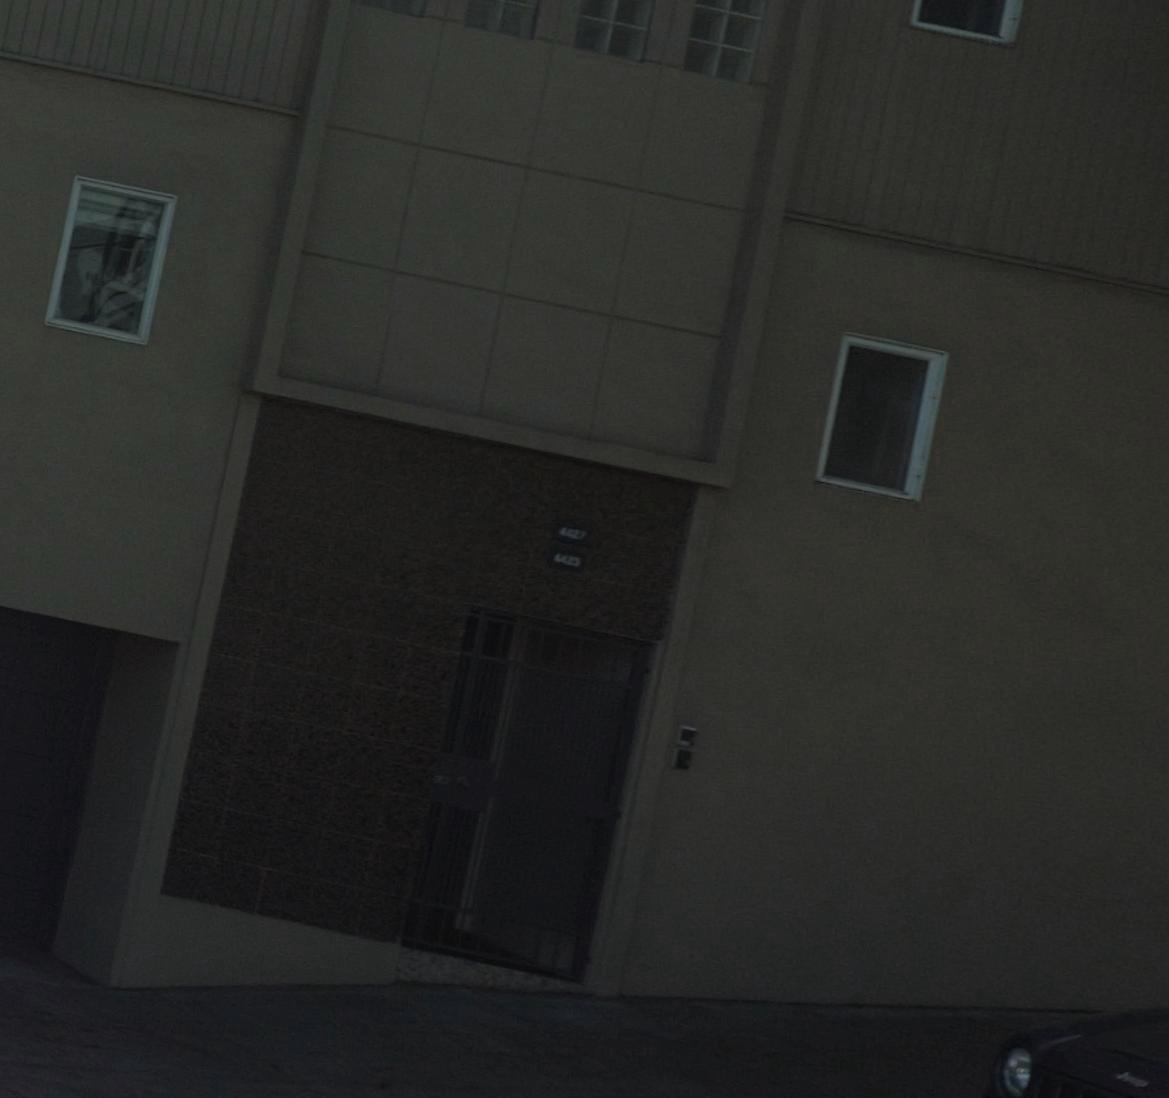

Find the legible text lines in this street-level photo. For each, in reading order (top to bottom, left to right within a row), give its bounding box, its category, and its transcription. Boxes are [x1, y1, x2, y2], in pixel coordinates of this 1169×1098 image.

[555, 522, 591, 544] StreetNumber: 4427
[550, 549, 584, 571] StreetNumber: 4423